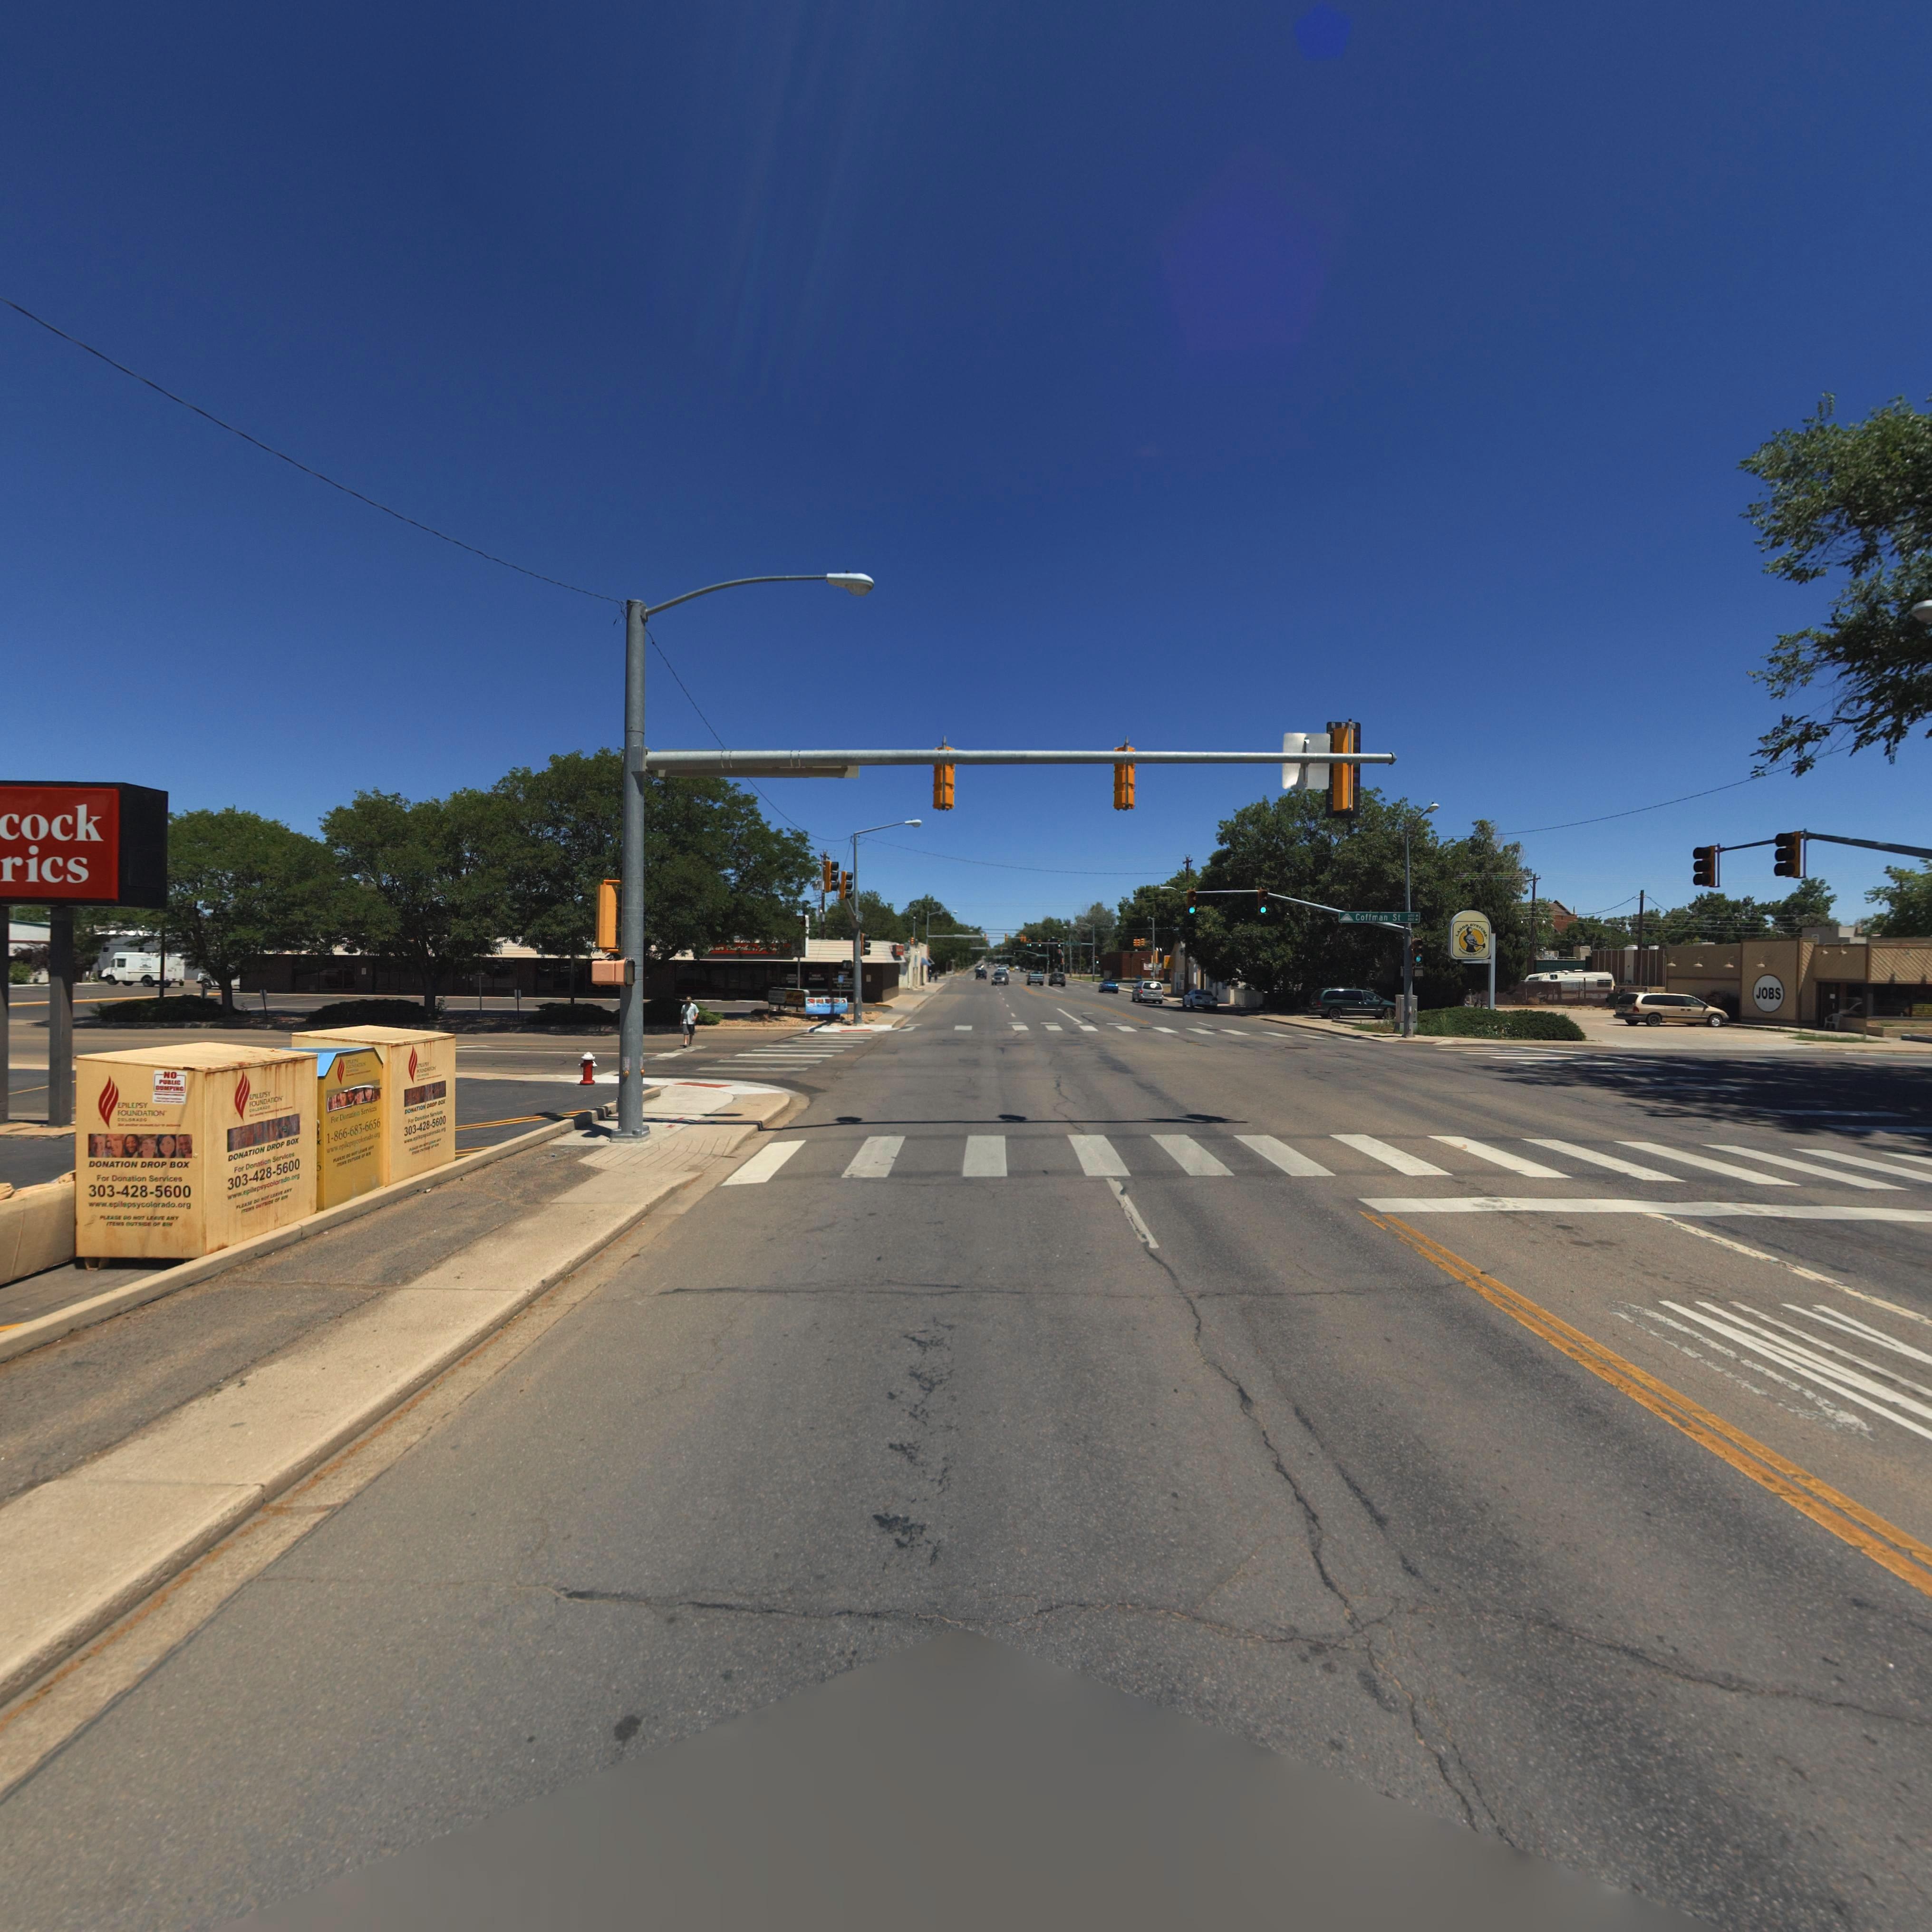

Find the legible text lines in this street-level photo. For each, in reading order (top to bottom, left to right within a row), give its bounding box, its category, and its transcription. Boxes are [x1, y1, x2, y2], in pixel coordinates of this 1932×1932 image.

[19, 802, 104, 842] BusinessName: ock
[1, 843, 90, 884] BusinessName: rics
[1355, 913, 1401, 921] StreetName: Coffman St
[1407, 913, 1414, 917] StreetNumberRange: 600
[1407, 918, 1418, 921] StreetNumberRange: 800 ->
[1455, 923, 1488, 937] BusinessName: LABOR SYSTEMS
[706, 943, 782, 953] BusinessName: **** ***ch**, ***n*
[768, 992, 785, 997] BusinessName: *O*****O ***D
[770, 997, 783, 1002] BusinessName: ***L ******
[786, 992, 793, 999] BusinessName: *ELI
[793, 993, 802, 1001] BusinessName: c**so